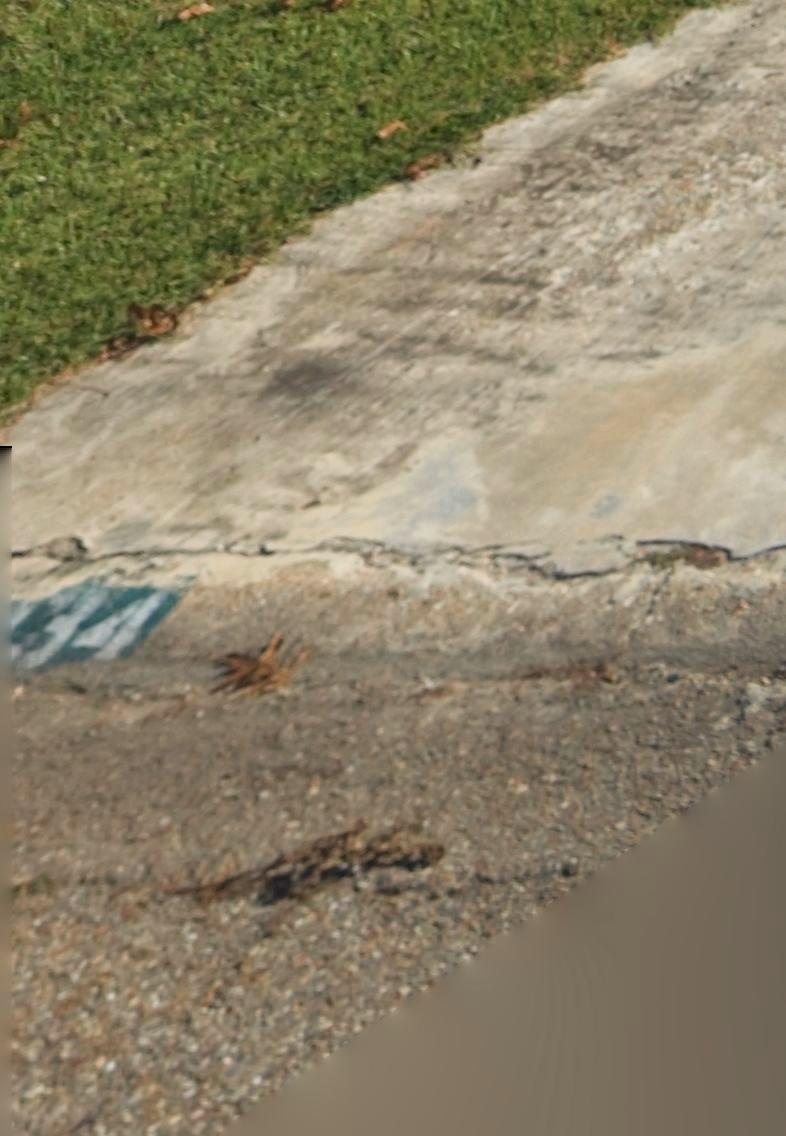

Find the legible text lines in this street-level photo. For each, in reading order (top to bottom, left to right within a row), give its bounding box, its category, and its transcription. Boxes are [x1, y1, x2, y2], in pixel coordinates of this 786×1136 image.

[21, 586, 173, 669] StreetNumber: *4